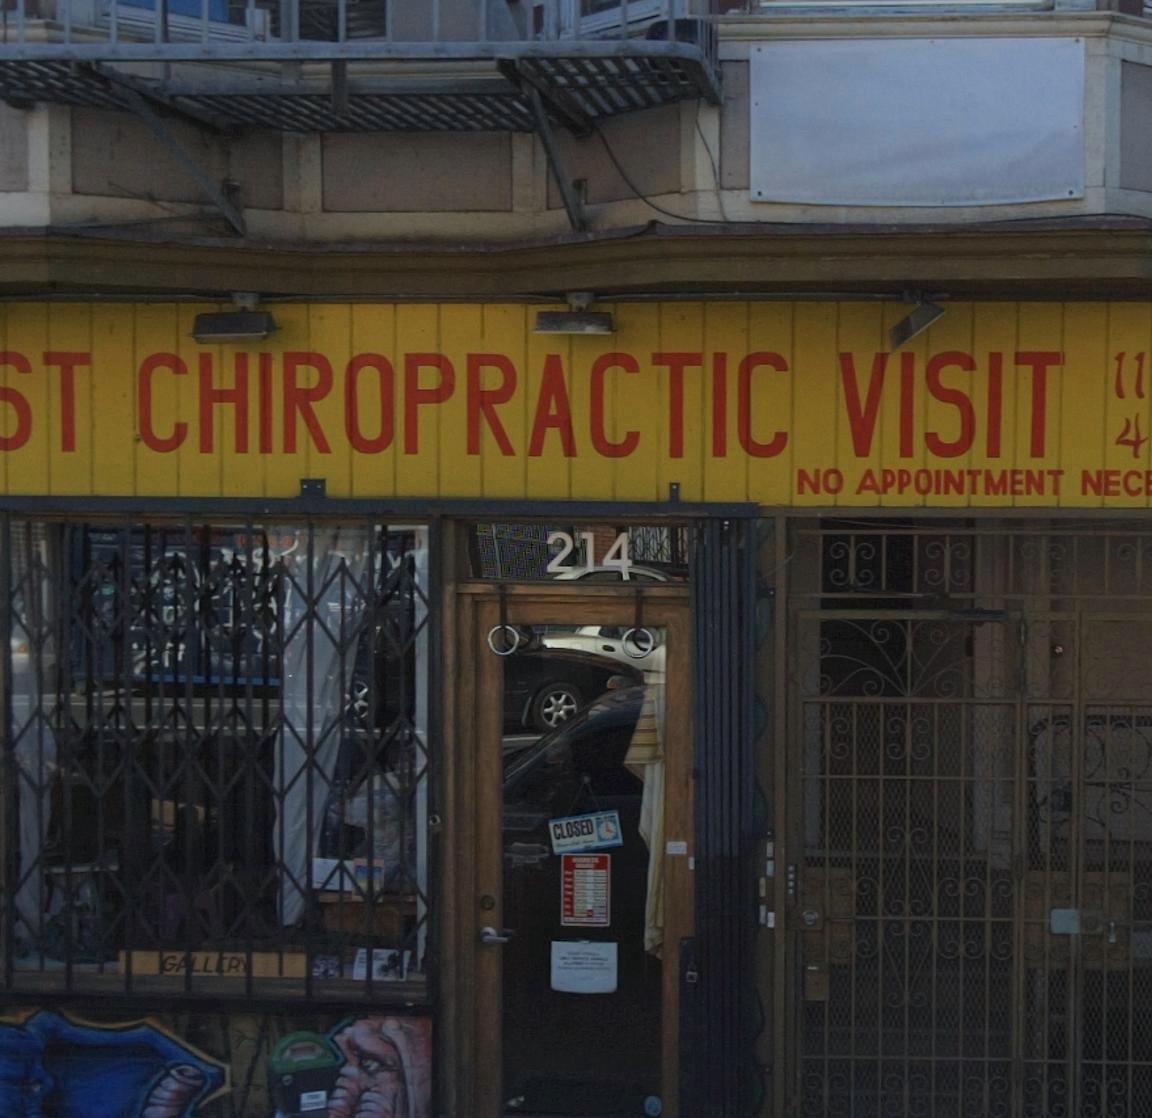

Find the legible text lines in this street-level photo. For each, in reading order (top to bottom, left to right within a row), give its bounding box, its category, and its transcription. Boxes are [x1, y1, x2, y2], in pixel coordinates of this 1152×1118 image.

[1110, 346, 1150, 403] None: 11
[35, 347, 1072, 464] None: T CHIROPRACTIC VISIT
[1110, 409, 1150, 464] None: 4
[796, 465, 1146, 496] None: NO APPOINTMENT NEC
[544, 530, 634, 574] StreetNumber: 214
[549, 816, 596, 842] None: CLOSED
[160, 952, 253, 976] None: G*LL*R*